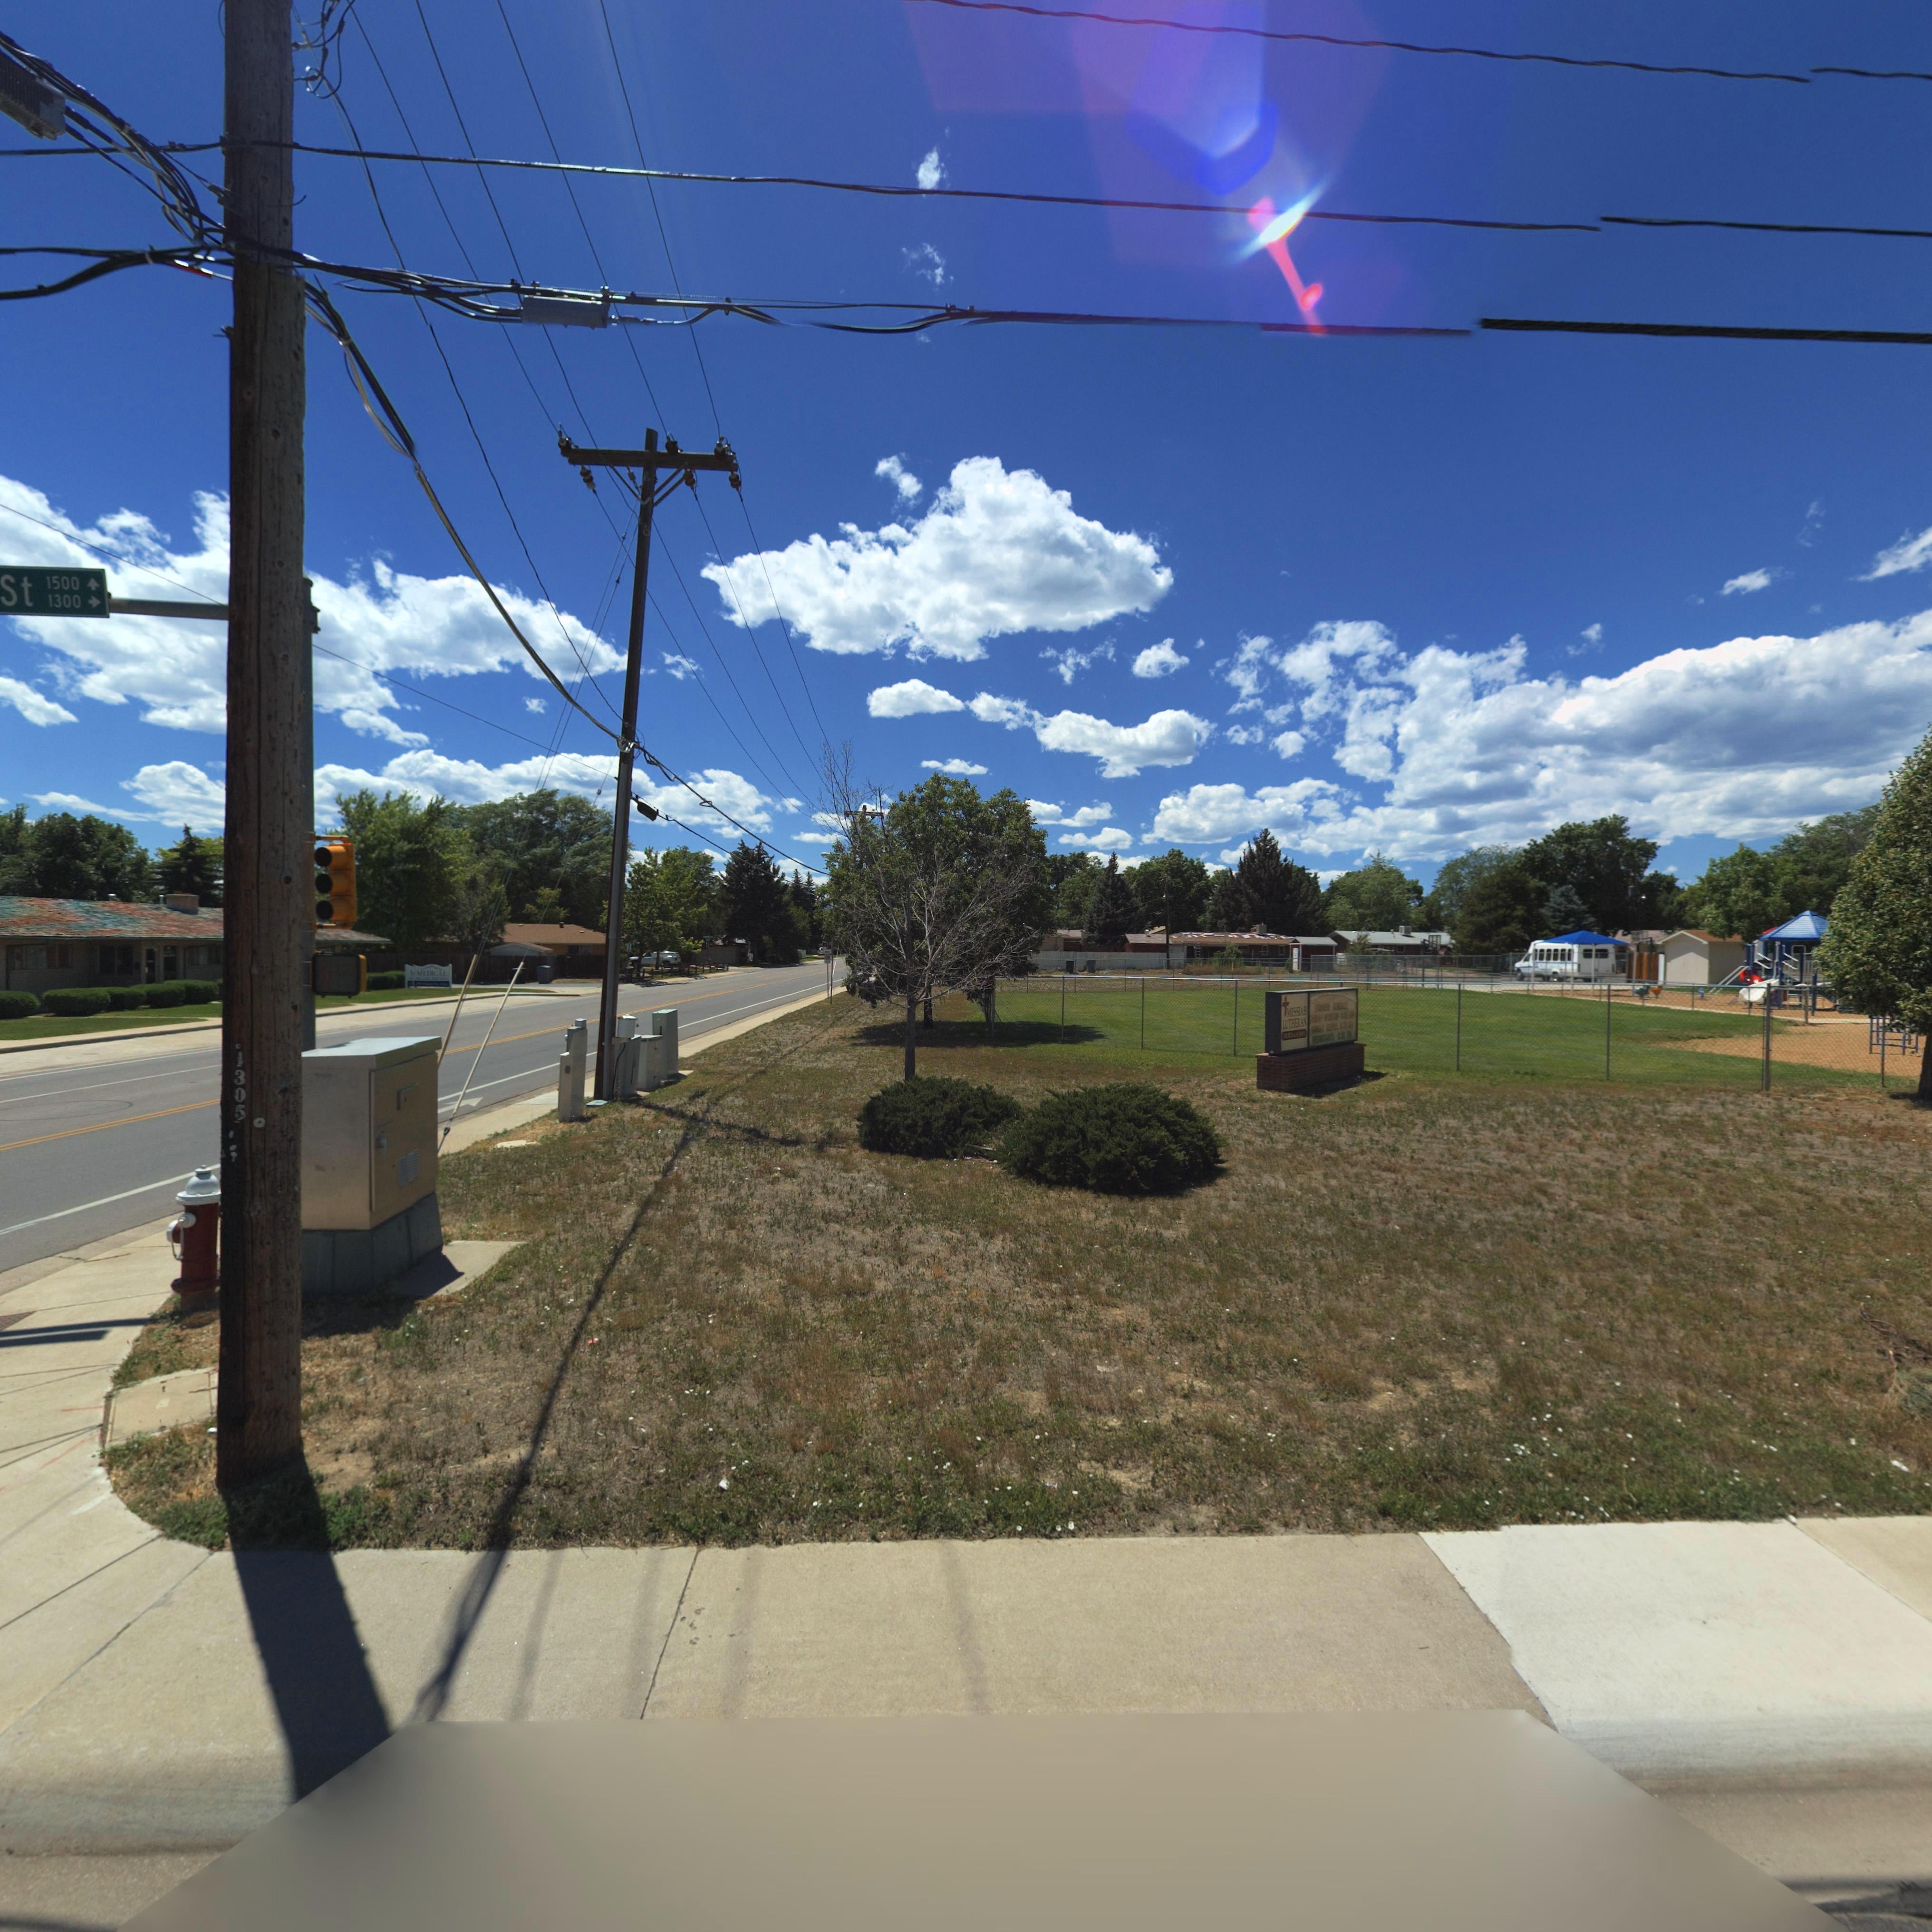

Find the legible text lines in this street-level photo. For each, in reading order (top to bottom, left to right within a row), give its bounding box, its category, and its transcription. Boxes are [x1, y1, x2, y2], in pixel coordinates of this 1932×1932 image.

[46, 575, 80, 590] StreetNumberRange: 1500
[0, 573, 34, 609] StreetName: St
[47, 594, 102, 609] StreetNumberRange: 1300->
[416, 970, 447, 977] BusinessName: MEDICAL
[1286, 1005, 1307, 1017] BusinessName: MESSIAH
[1282, 1017, 1307, 1030] BusinessName: LUTHERAN
[232, 1050, 247, 1121] StreetNumber: 1305